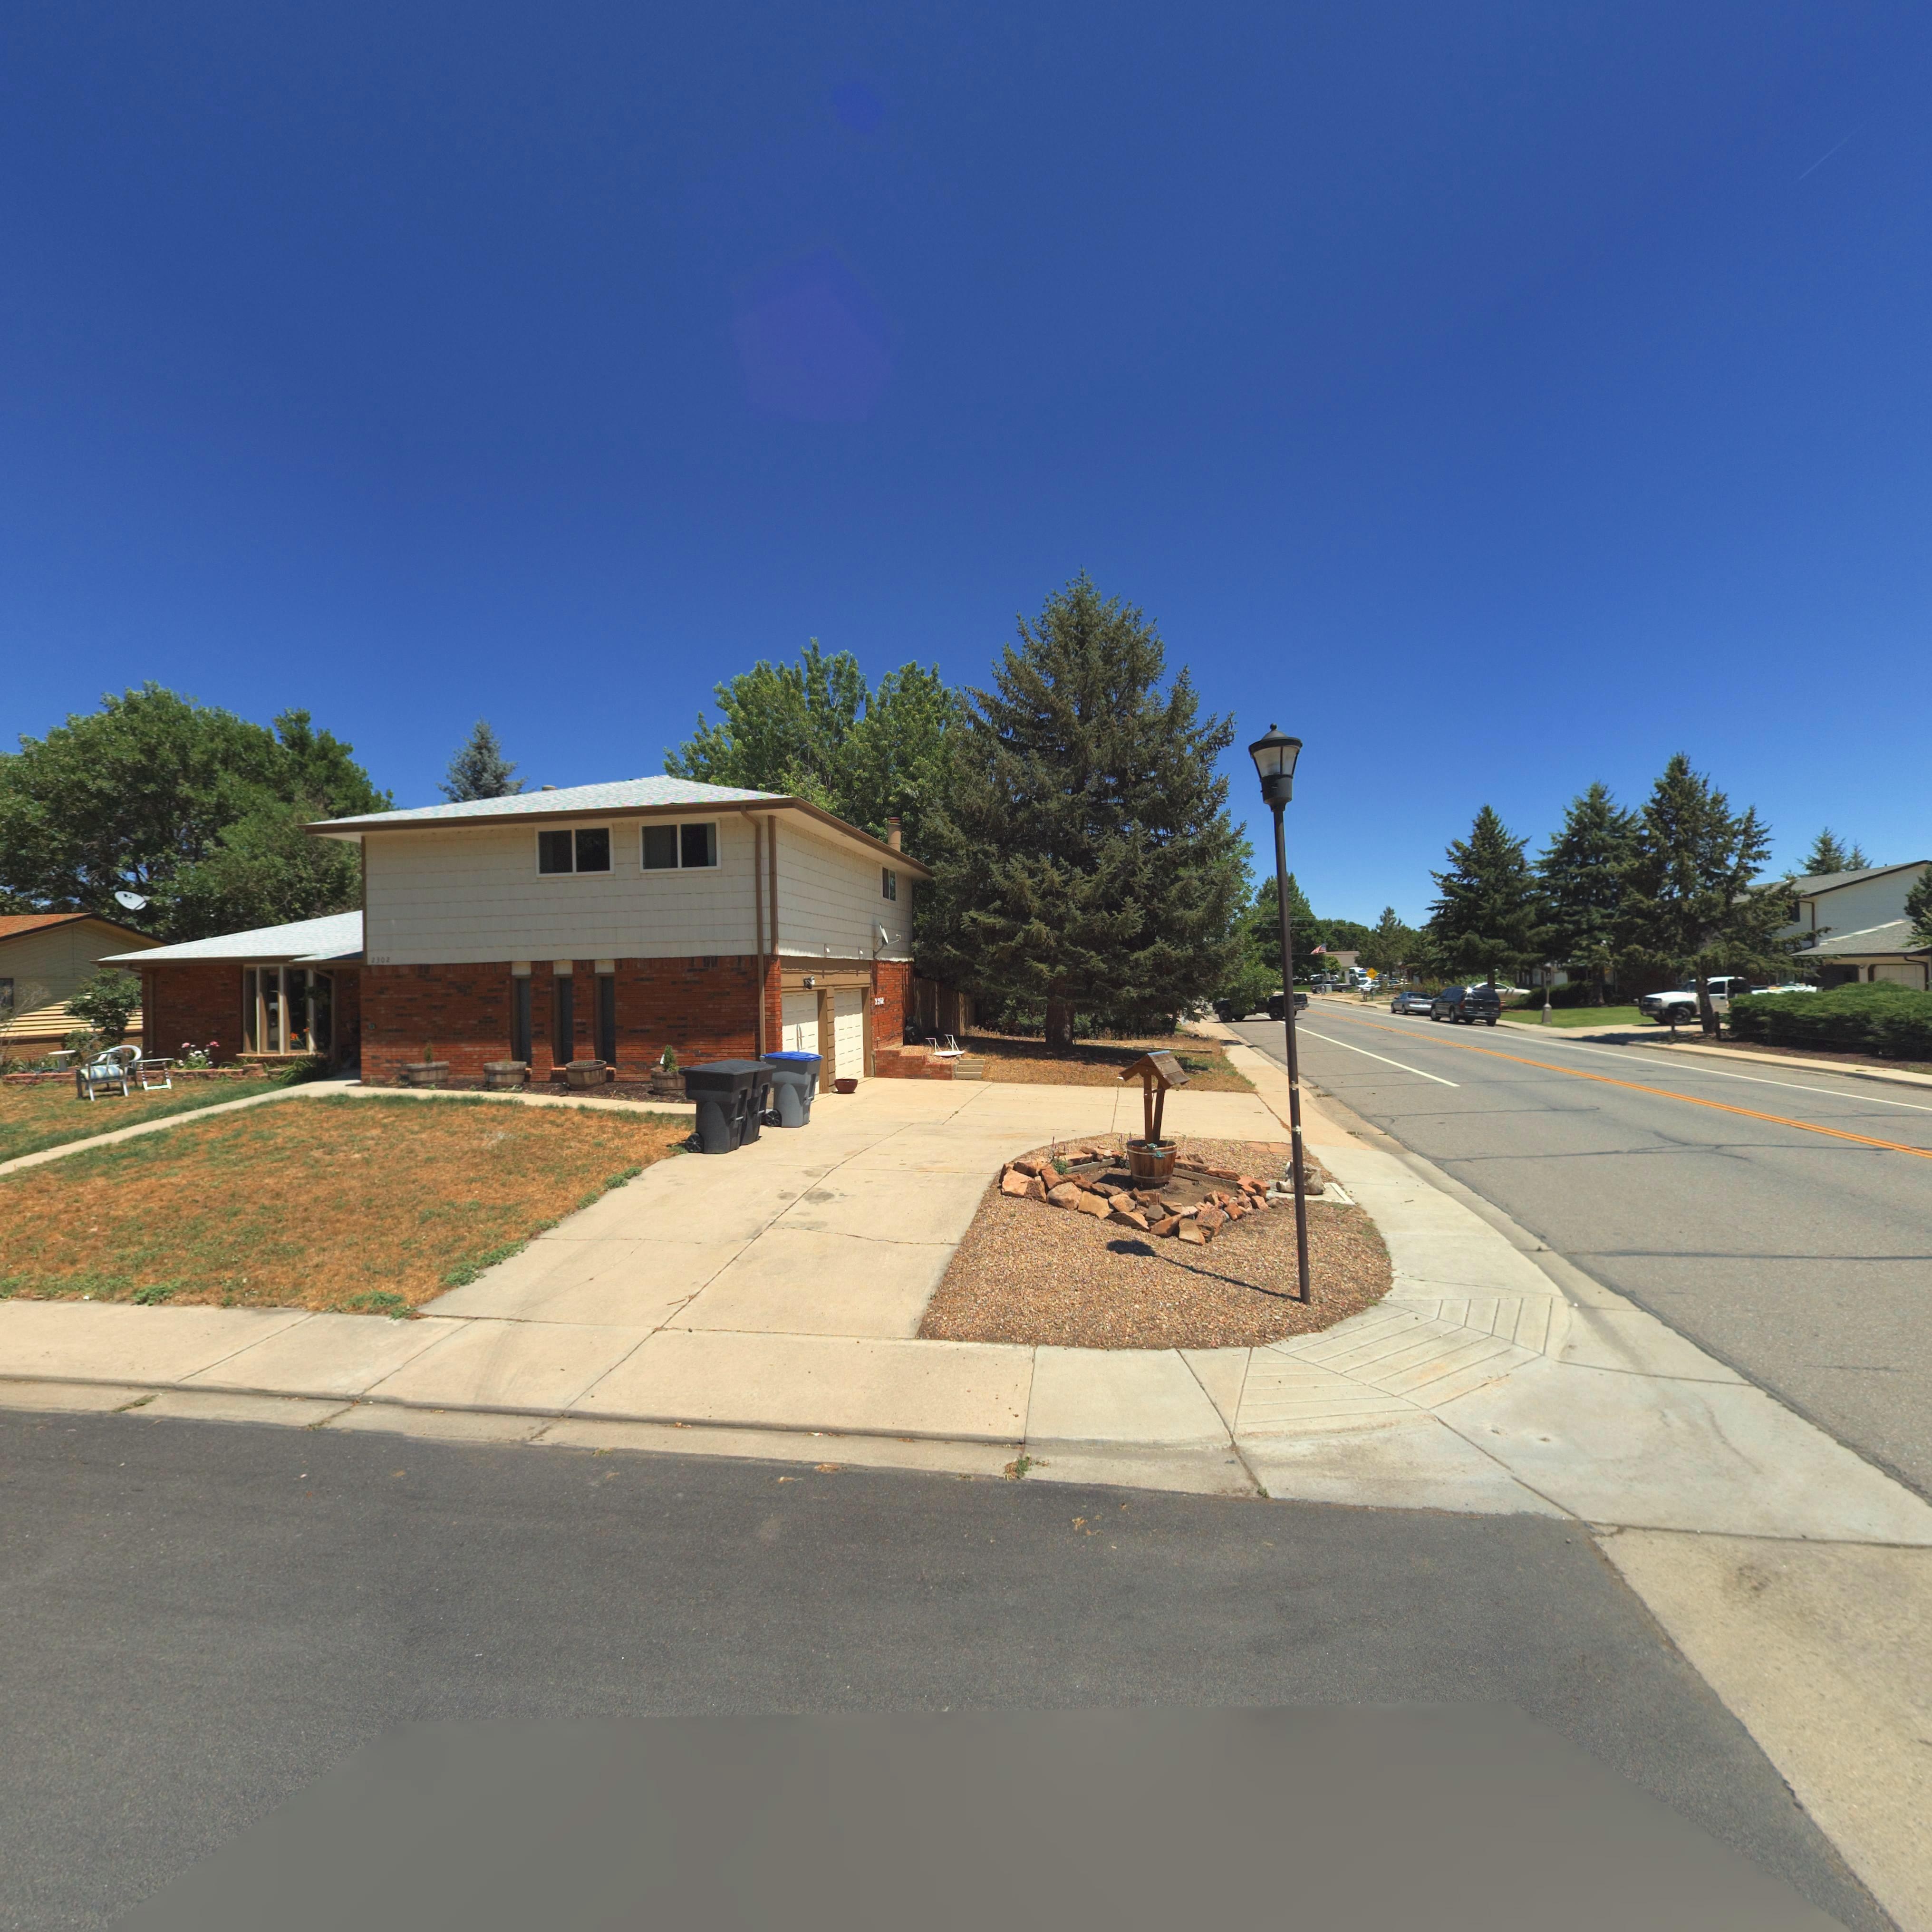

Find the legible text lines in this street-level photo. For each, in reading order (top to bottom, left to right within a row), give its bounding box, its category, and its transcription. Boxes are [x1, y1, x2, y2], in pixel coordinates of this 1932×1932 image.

[370, 956, 389, 964] StreetNumber: 2302
[874, 997, 884, 1005] StreetNumber: 2302